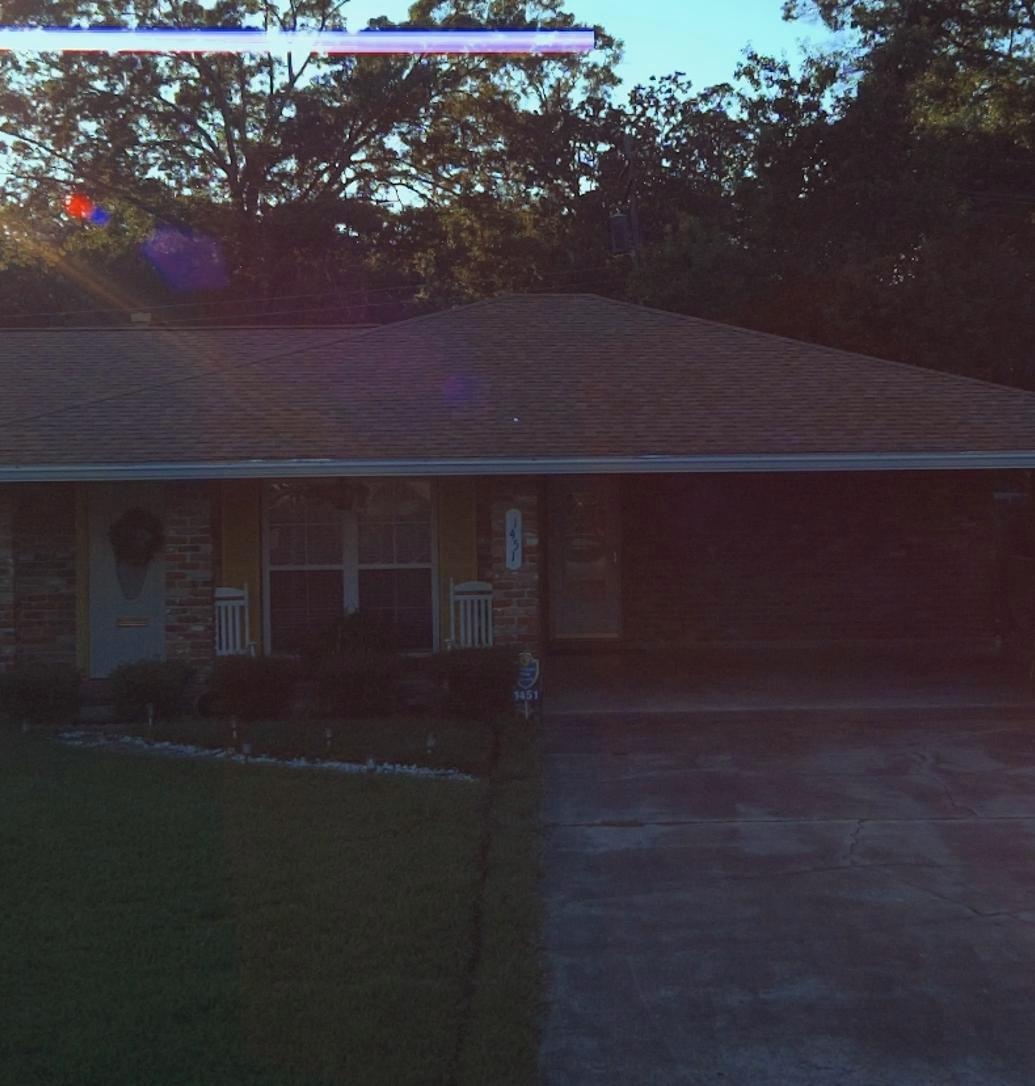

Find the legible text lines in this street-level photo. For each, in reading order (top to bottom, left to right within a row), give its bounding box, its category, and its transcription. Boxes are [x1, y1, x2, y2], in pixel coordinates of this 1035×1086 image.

[508, 516, 520, 562] StreetNumber: 1451
[511, 689, 539, 701] StreetNumber: 1451